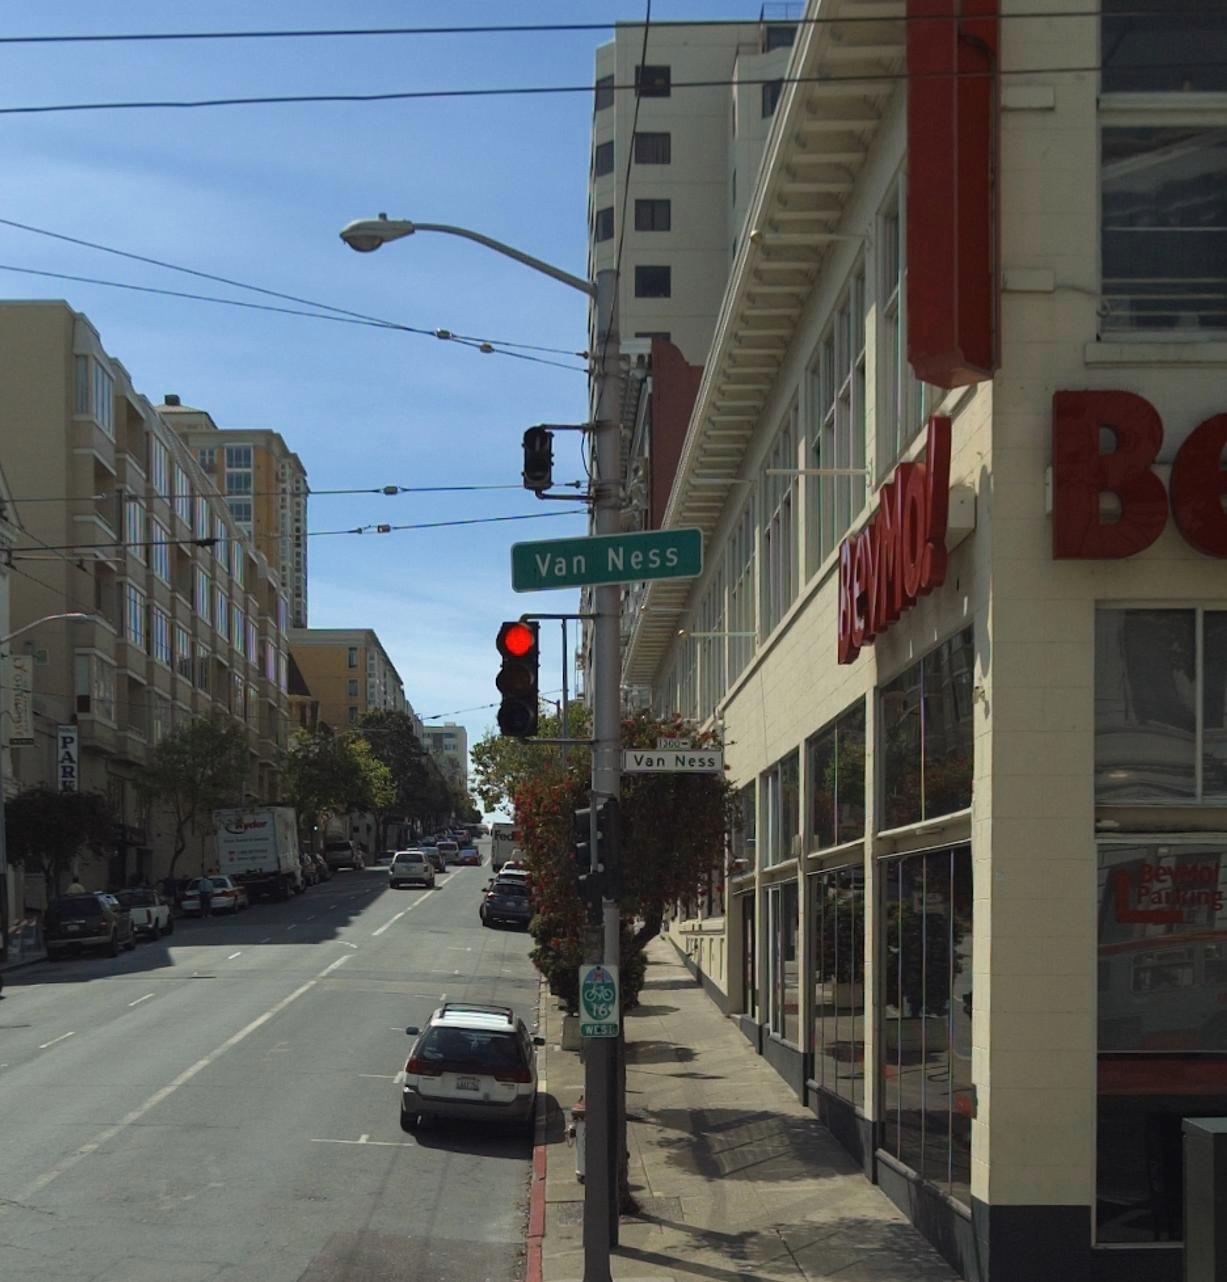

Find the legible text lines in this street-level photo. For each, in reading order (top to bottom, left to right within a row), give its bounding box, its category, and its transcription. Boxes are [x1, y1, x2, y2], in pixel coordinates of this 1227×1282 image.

[1044, 382, 1174, 568] BusinessName: B
[832, 406, 957, 672] BusinessName: BevMo!
[530, 538, 682, 581] StreetName: Van Ness
[657, 736, 692, 750] StreetNumberRange: 1300->
[56, 732, 78, 794] None: PARK
[630, 751, 718, 769] StreetName: Van Ness
[1138, 858, 1223, 887] None: BevMo!
[1133, 882, 1226, 915] None: Parking
[590, 1000, 610, 1019] None: 16
[582, 1022, 615, 1037] None: WES*